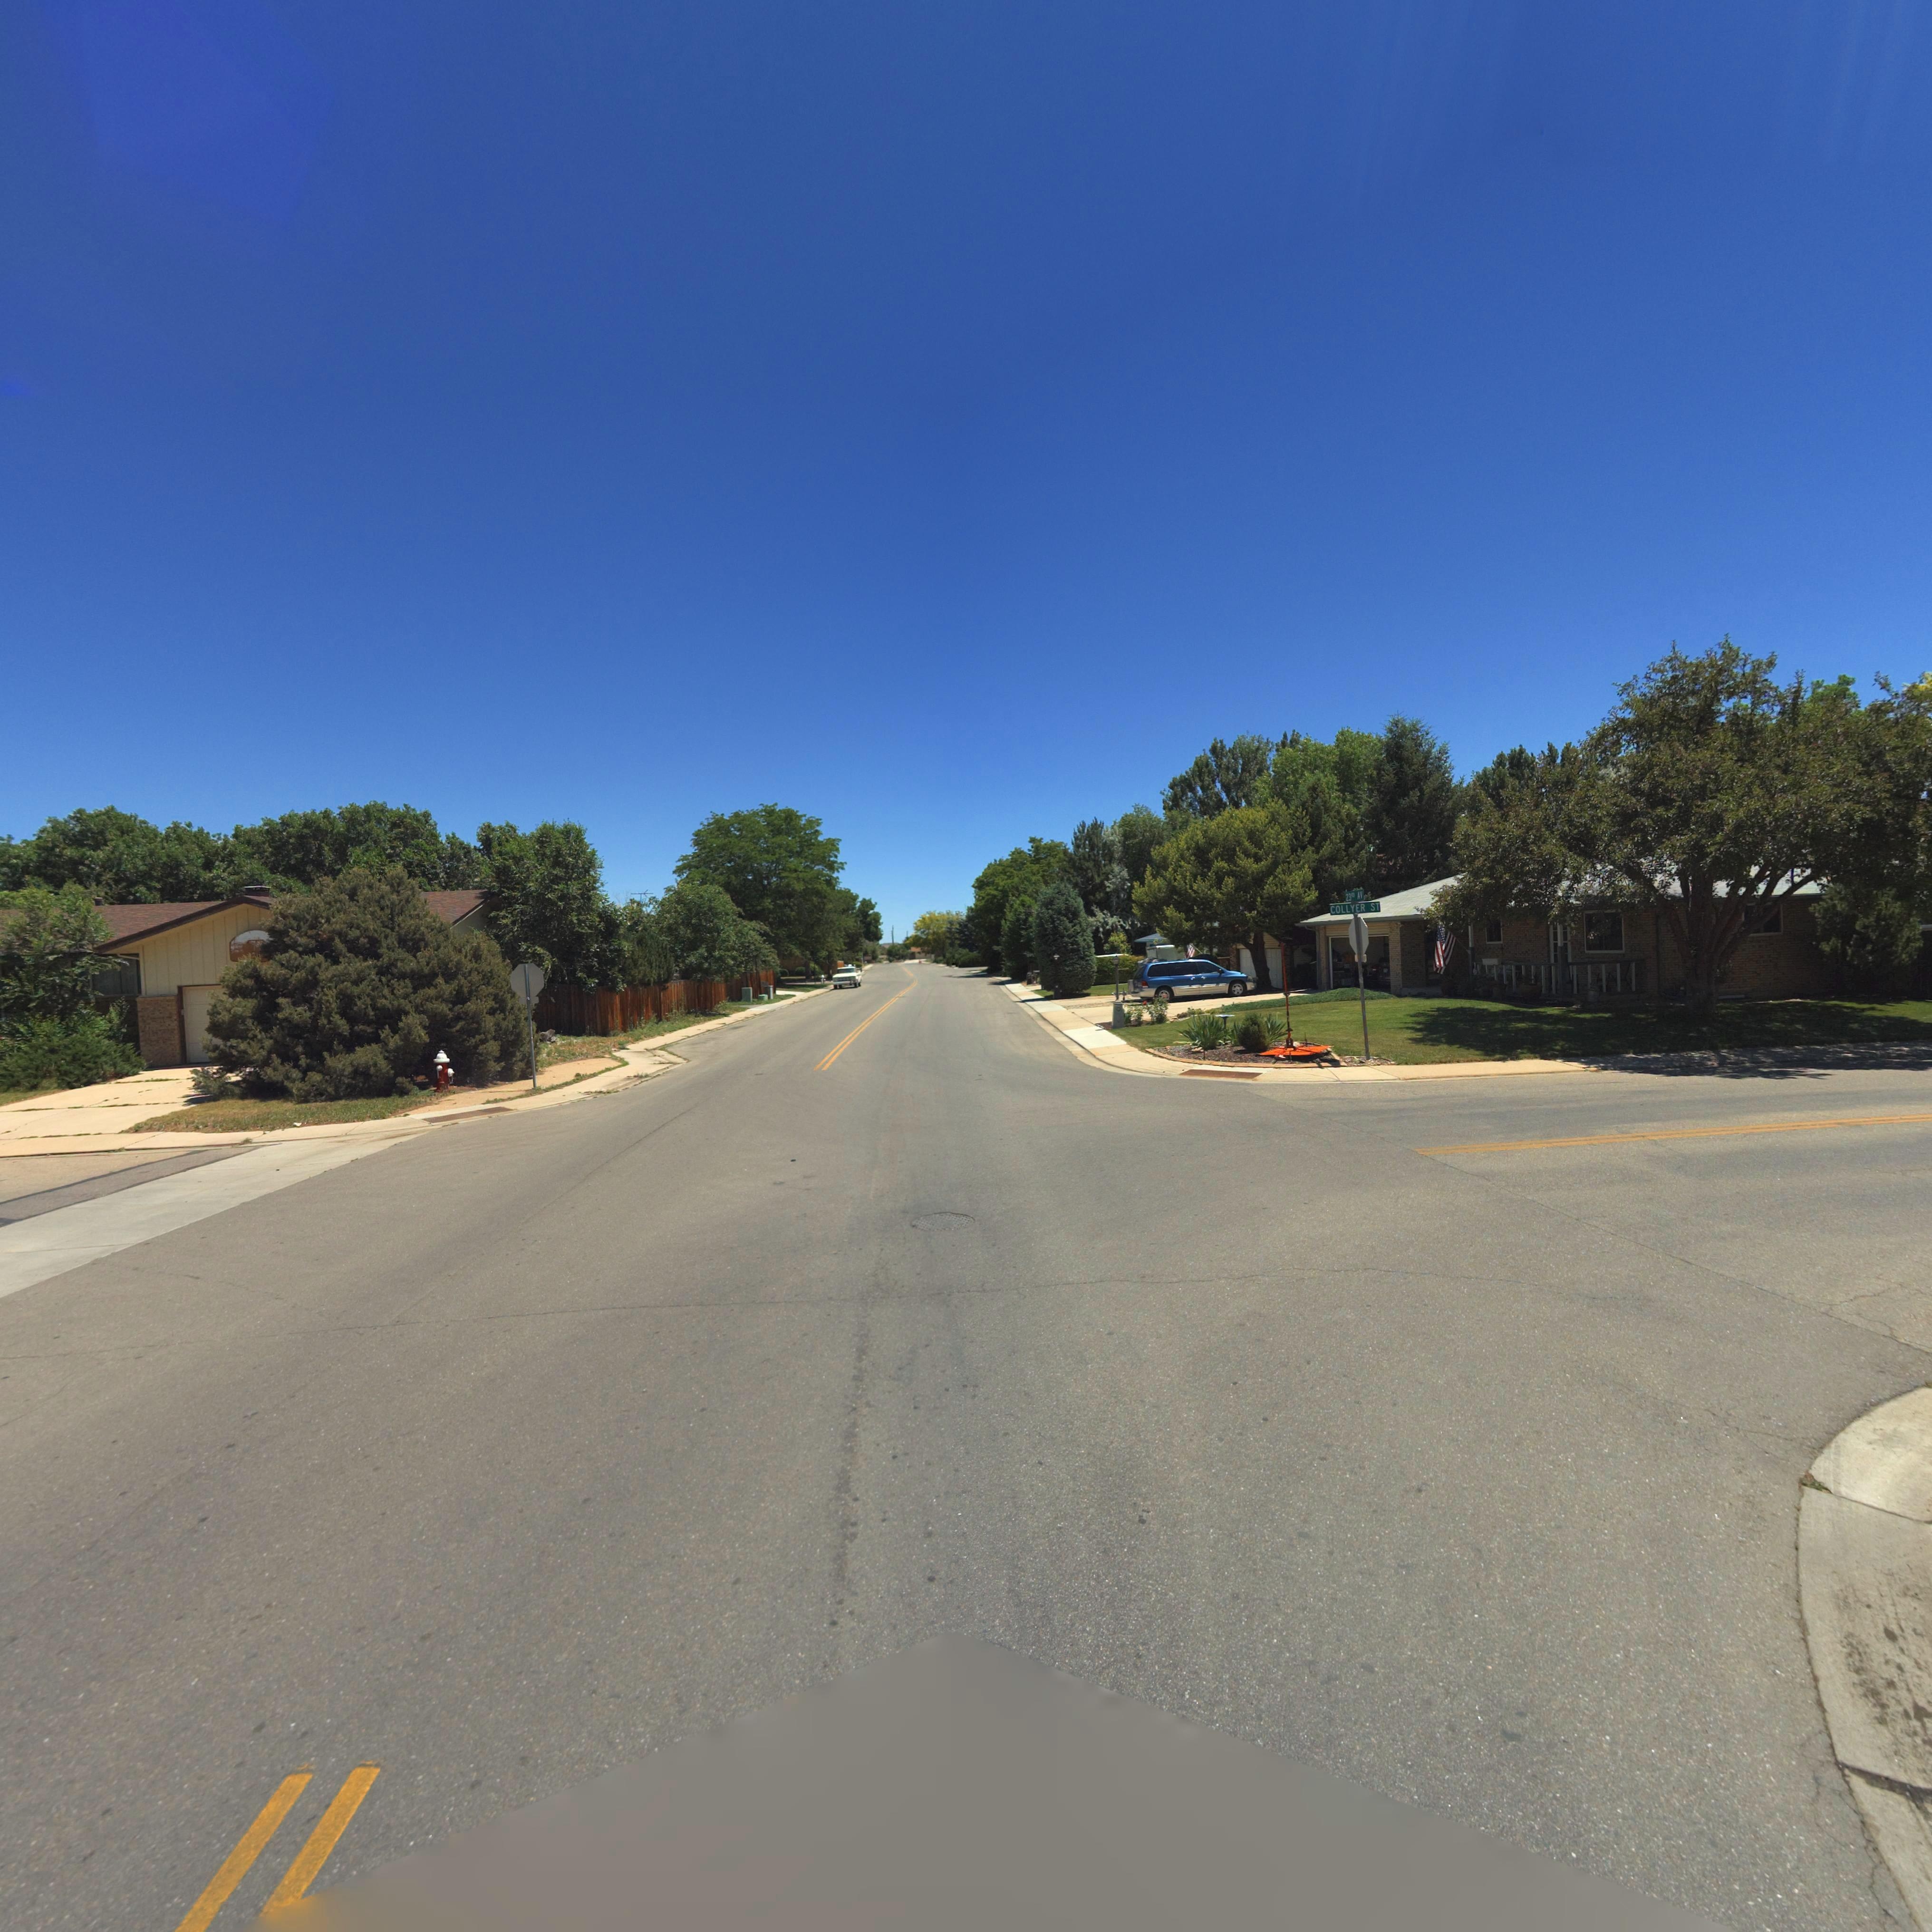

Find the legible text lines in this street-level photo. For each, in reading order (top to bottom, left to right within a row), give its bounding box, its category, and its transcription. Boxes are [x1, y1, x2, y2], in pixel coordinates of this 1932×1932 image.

[1345, 890, 1362, 902] StreetName: 23RD AV
[1330, 902, 1379, 914] StreetName: COLLYER ST